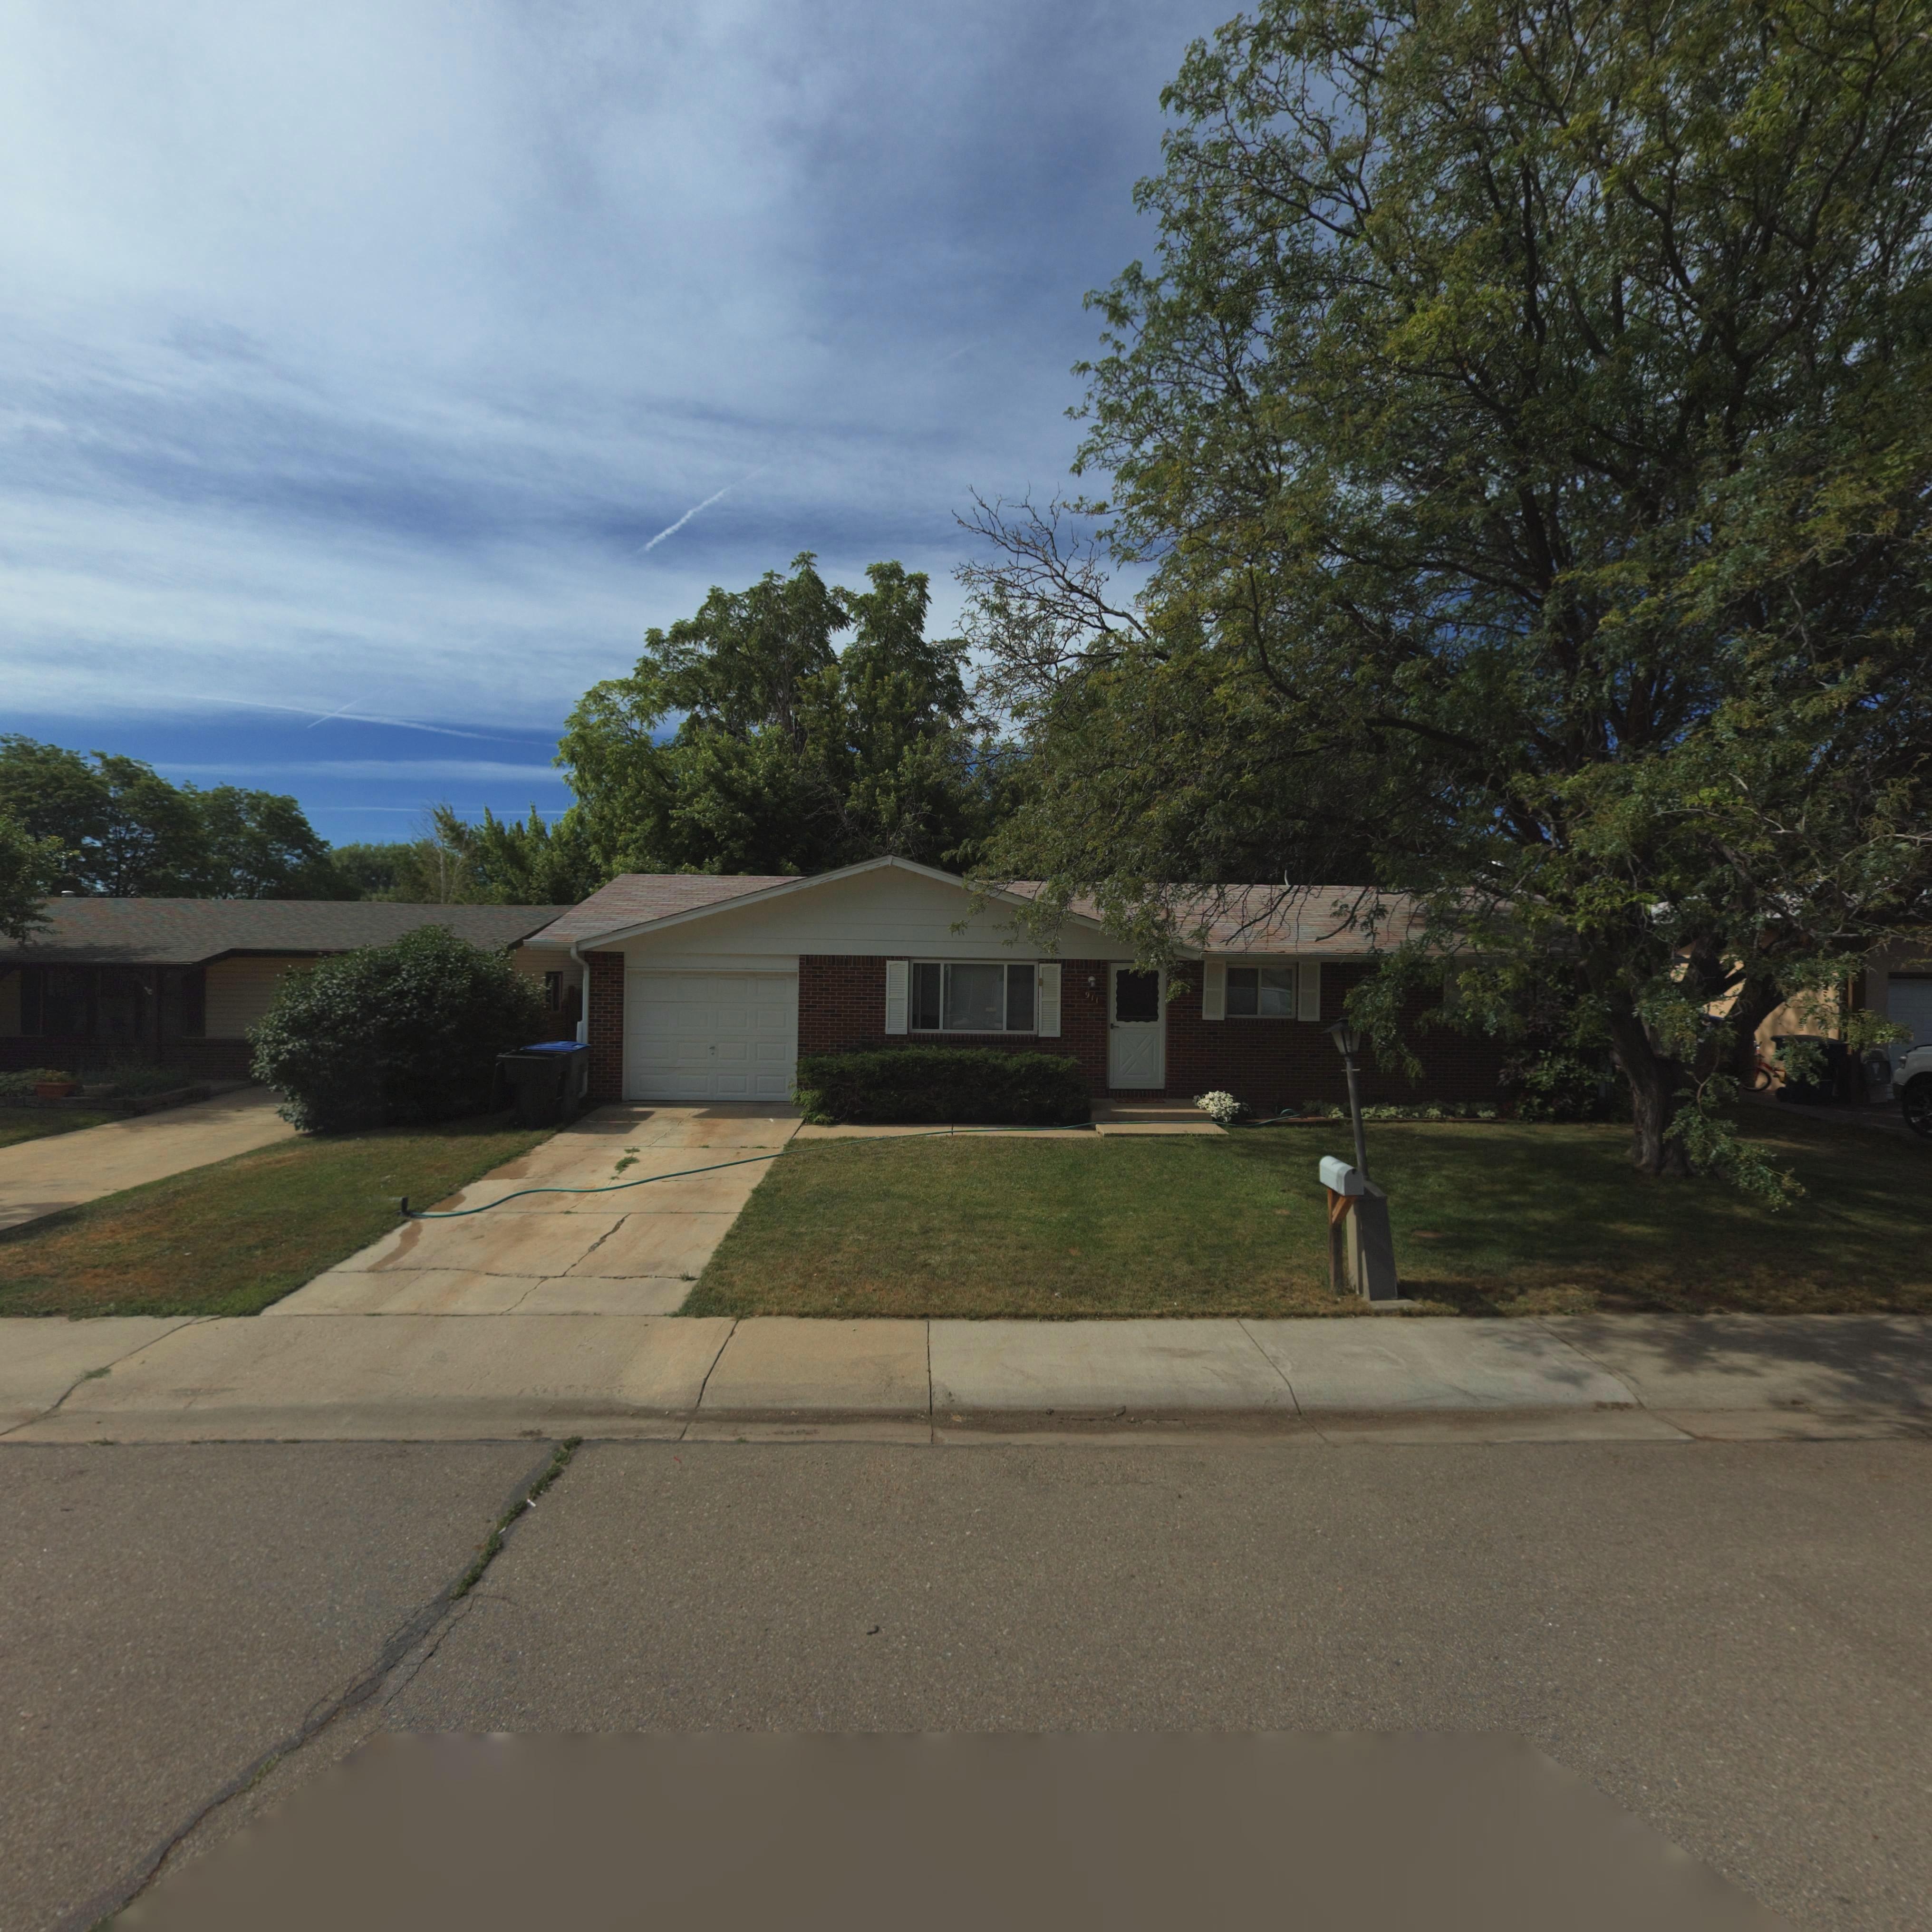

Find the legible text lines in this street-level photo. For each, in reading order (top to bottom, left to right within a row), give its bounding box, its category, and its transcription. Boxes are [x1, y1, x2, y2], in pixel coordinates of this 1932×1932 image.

[1084, 991, 1099, 1004] StreetNumber: 911